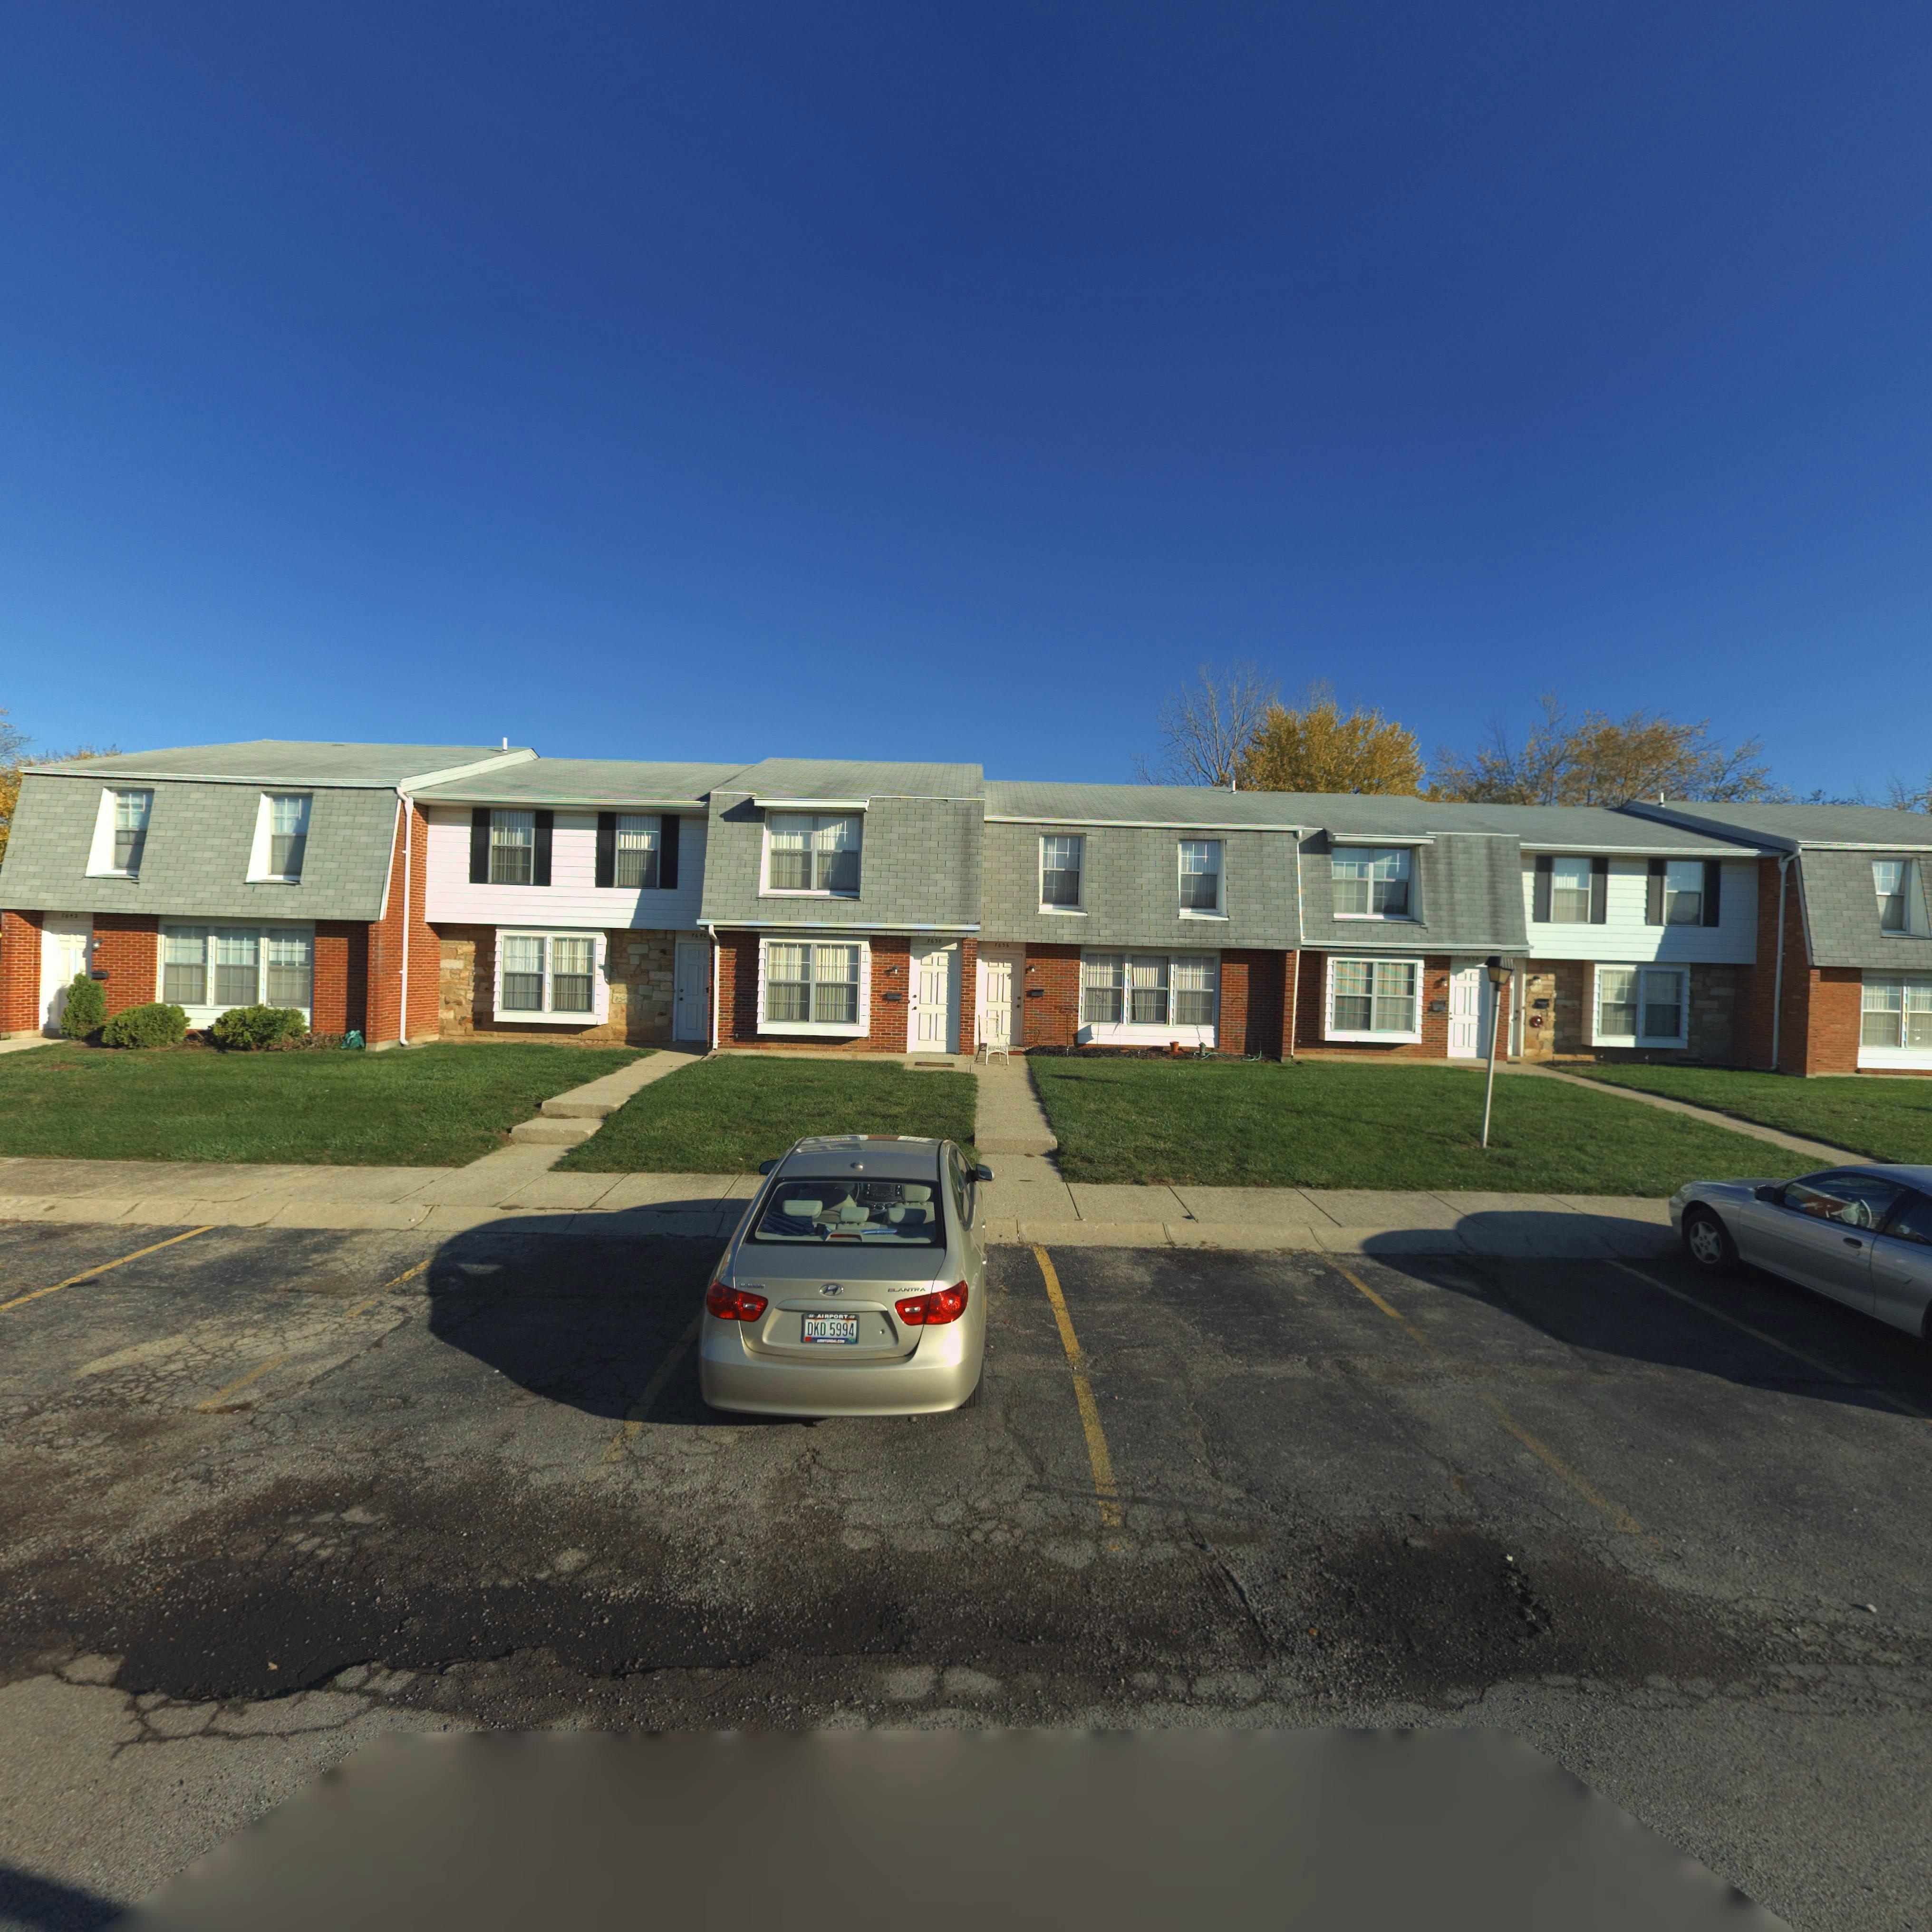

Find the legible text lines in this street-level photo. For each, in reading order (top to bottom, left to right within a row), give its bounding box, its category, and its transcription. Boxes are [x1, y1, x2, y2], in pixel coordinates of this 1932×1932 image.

[60, 912, 78, 918] StreetNumber: 7642
[691, 933, 707, 938] StreetNumber: 7640
[927, 938, 942, 944] StreetNumber: 7638
[994, 942, 1009, 948] StreetNumber: 7636
[1462, 956, 1480, 962] StreetNumber: 7634